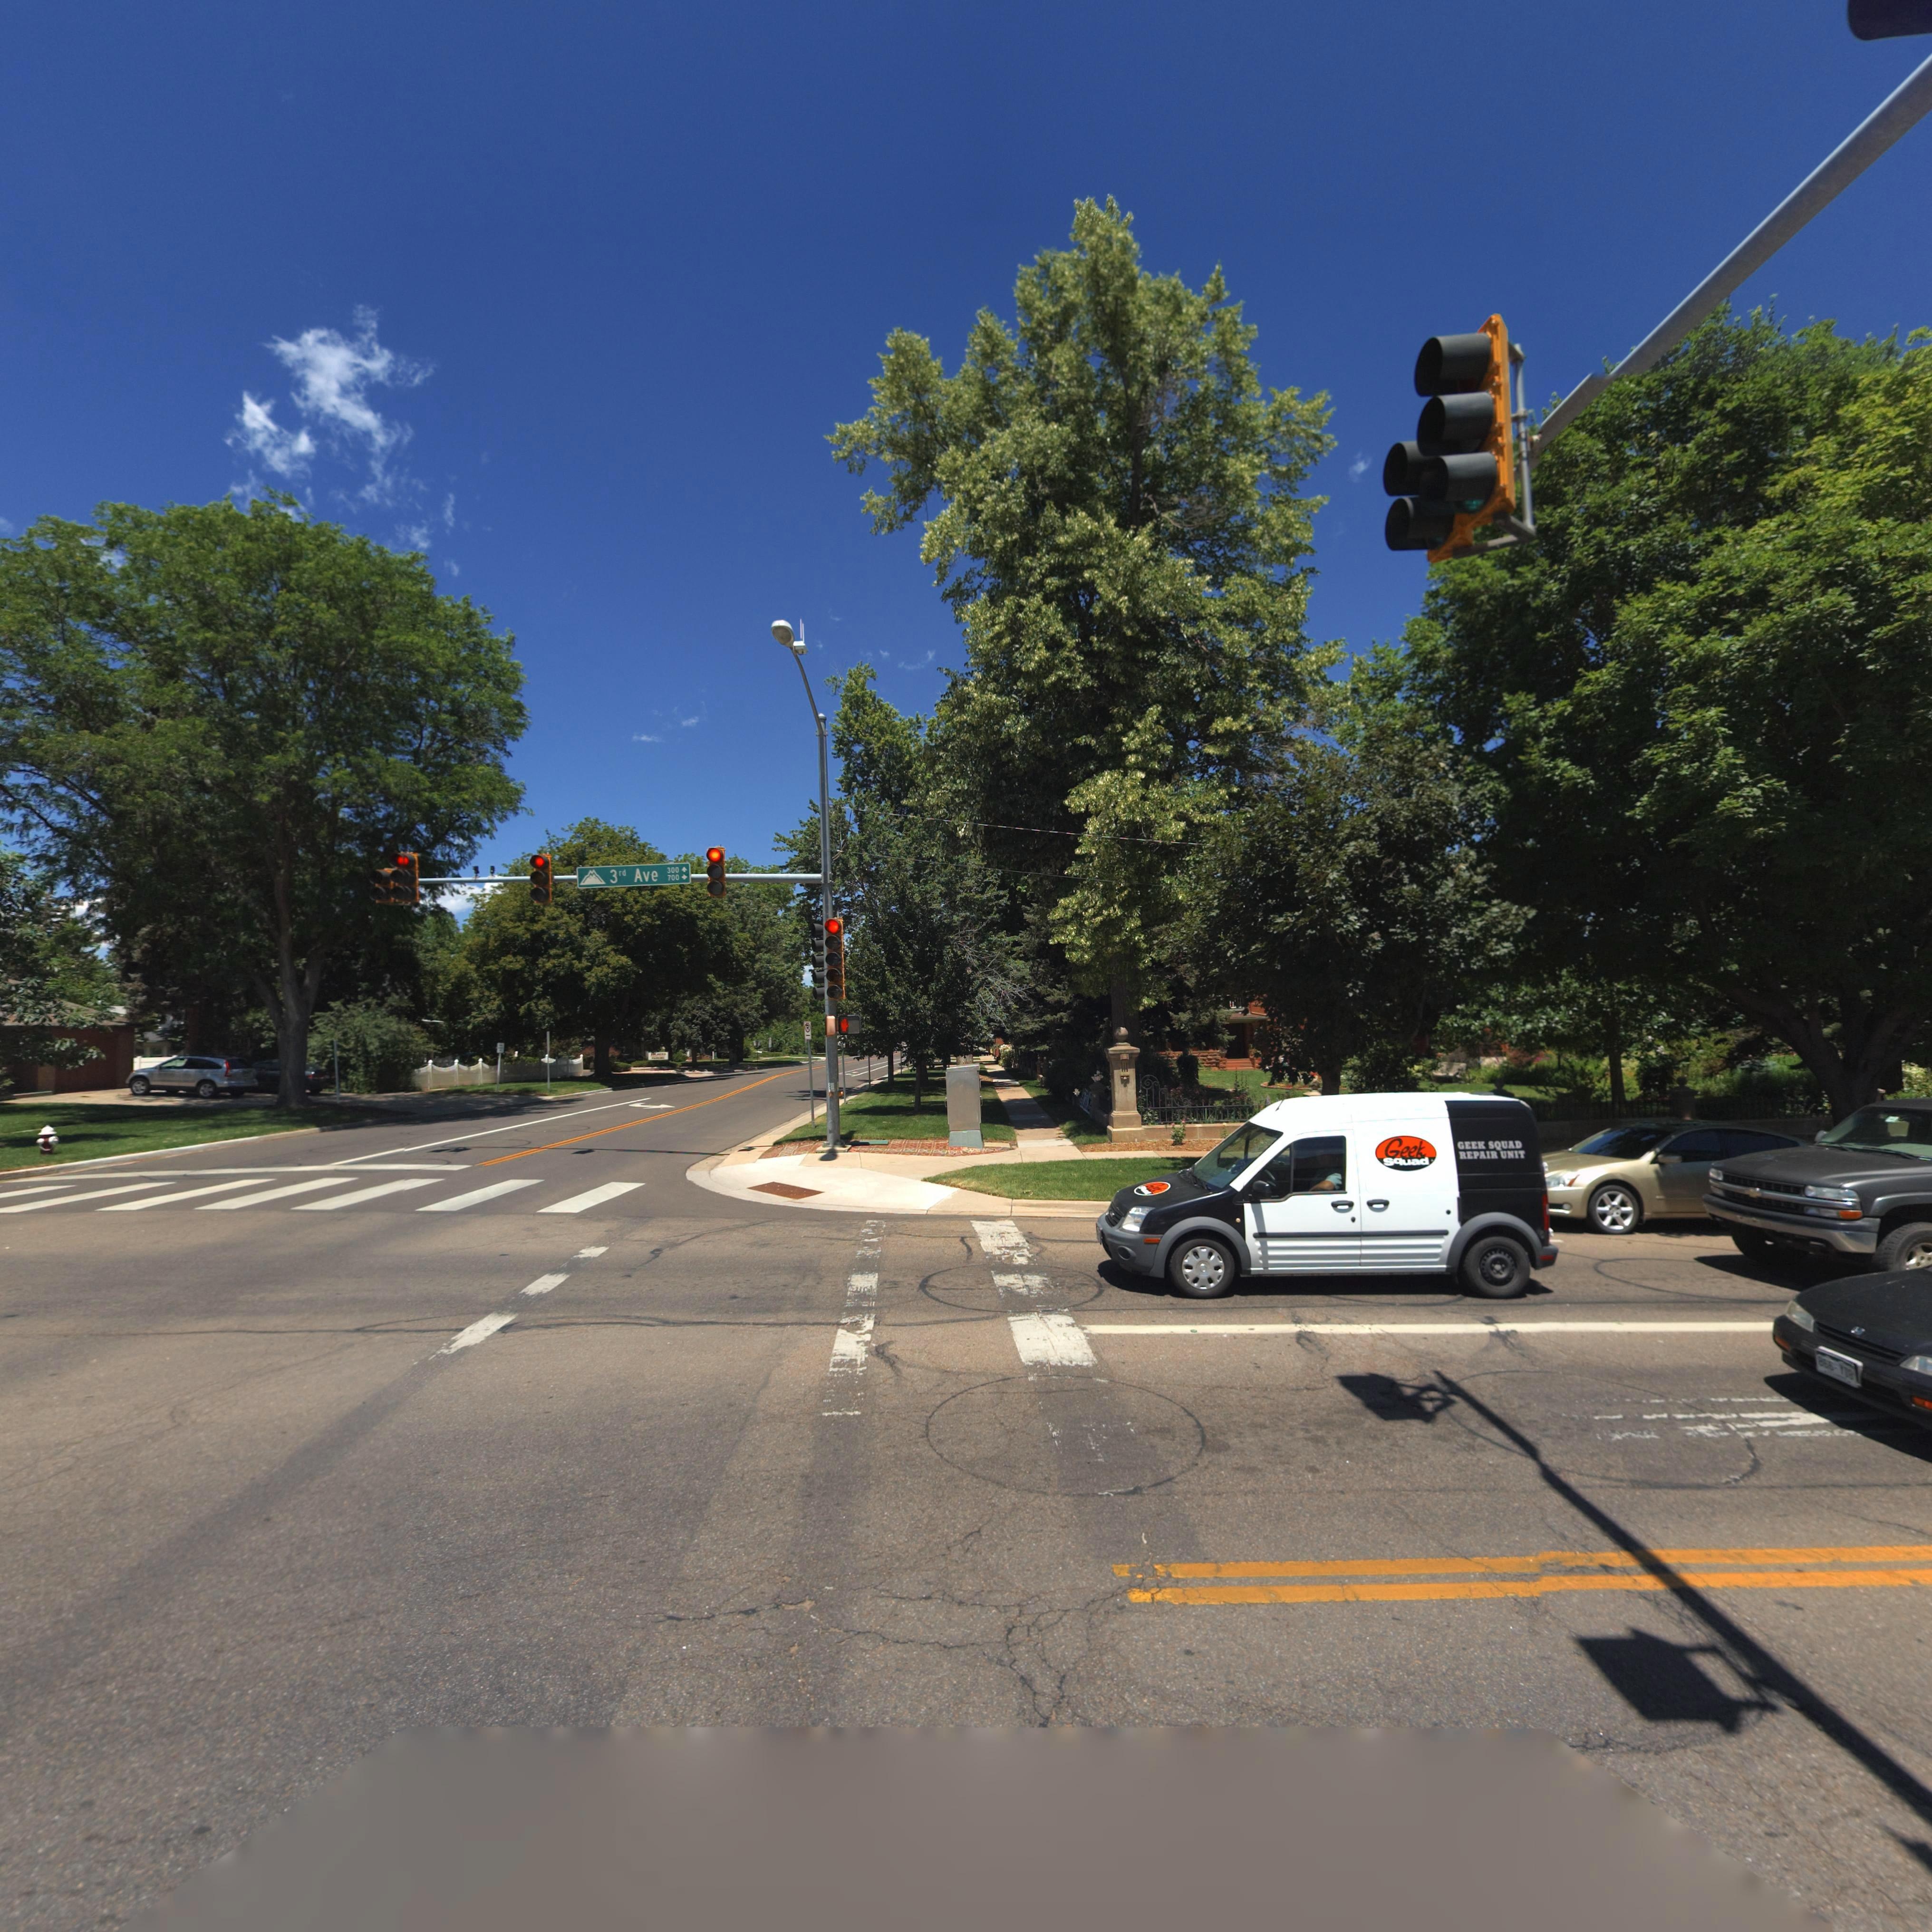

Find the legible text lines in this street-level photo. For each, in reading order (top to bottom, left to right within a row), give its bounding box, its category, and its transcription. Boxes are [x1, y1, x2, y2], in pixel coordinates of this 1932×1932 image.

[667, 867, 679, 873] StreetNumberRange: 300
[609, 868, 657, 883] StreetName: 3rd Ave
[667, 874, 688, 880] StreetNumberRange: 700 ->